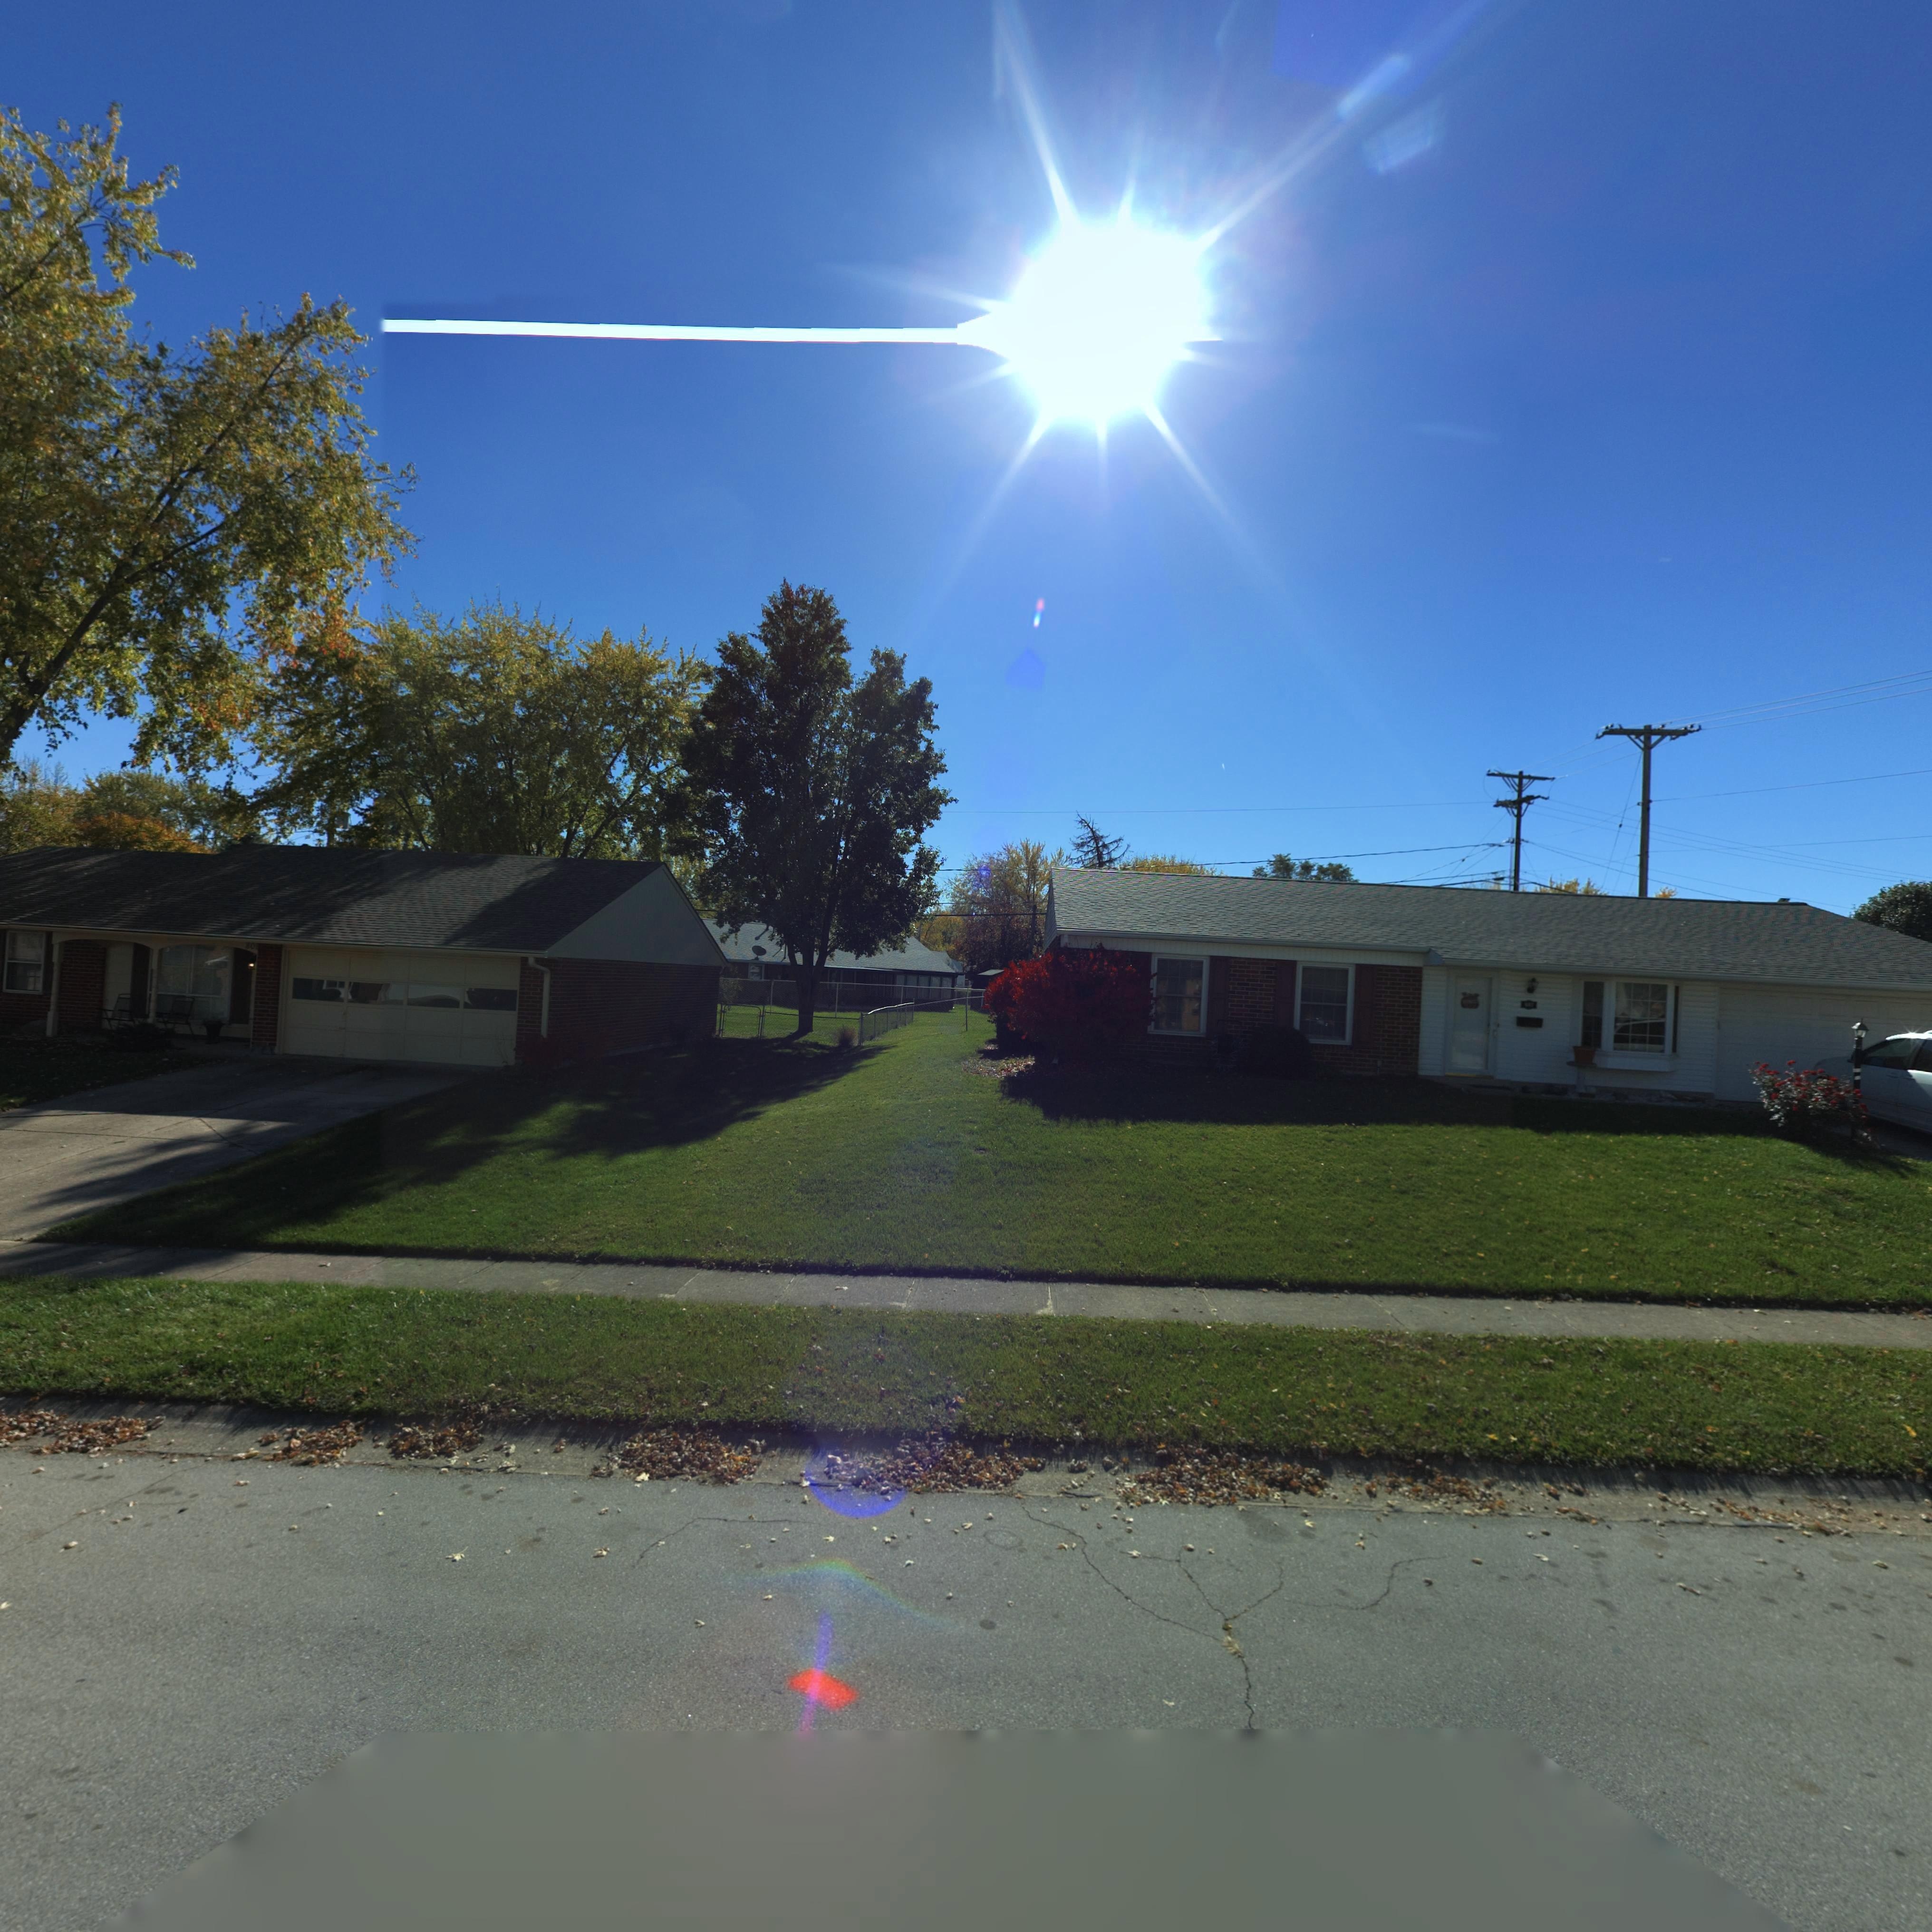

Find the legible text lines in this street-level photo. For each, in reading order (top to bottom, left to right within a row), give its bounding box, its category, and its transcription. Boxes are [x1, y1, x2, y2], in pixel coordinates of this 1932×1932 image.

[245, 942, 260, 950] StreetNumber: 809